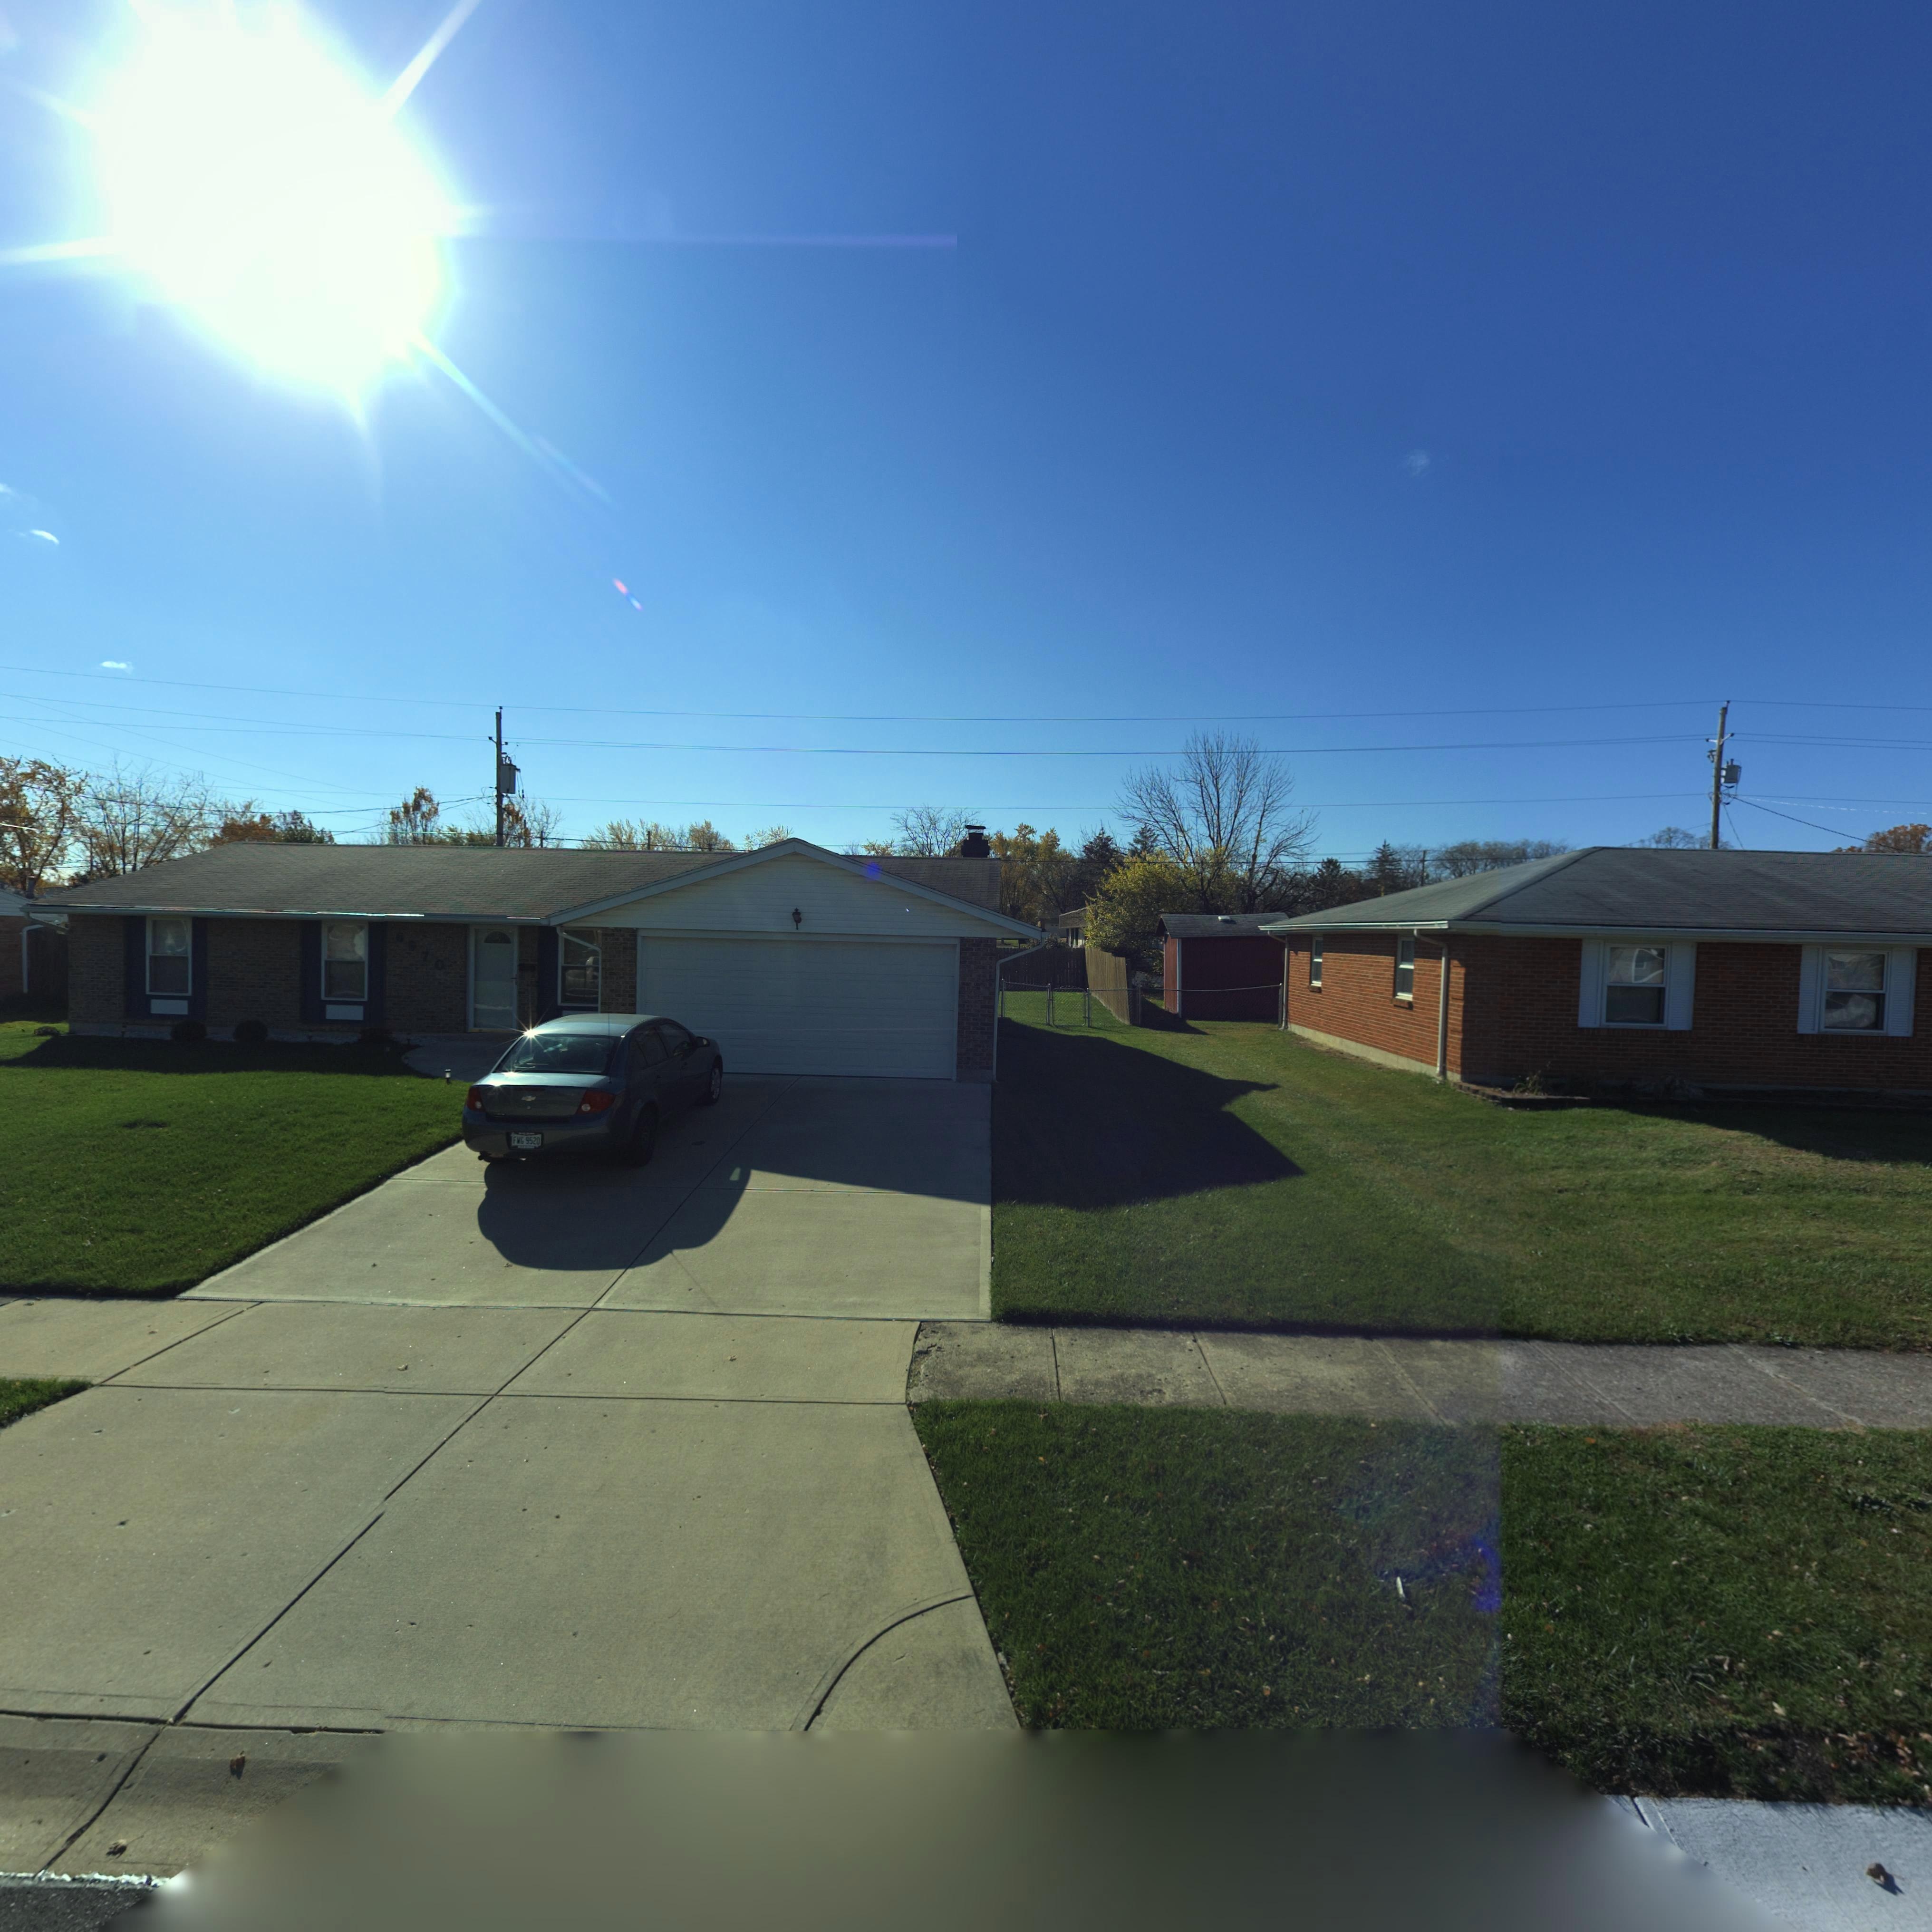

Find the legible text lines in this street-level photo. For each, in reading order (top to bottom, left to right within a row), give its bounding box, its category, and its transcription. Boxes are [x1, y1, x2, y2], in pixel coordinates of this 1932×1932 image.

[395, 930, 445, 972] StreetNumber: 6970